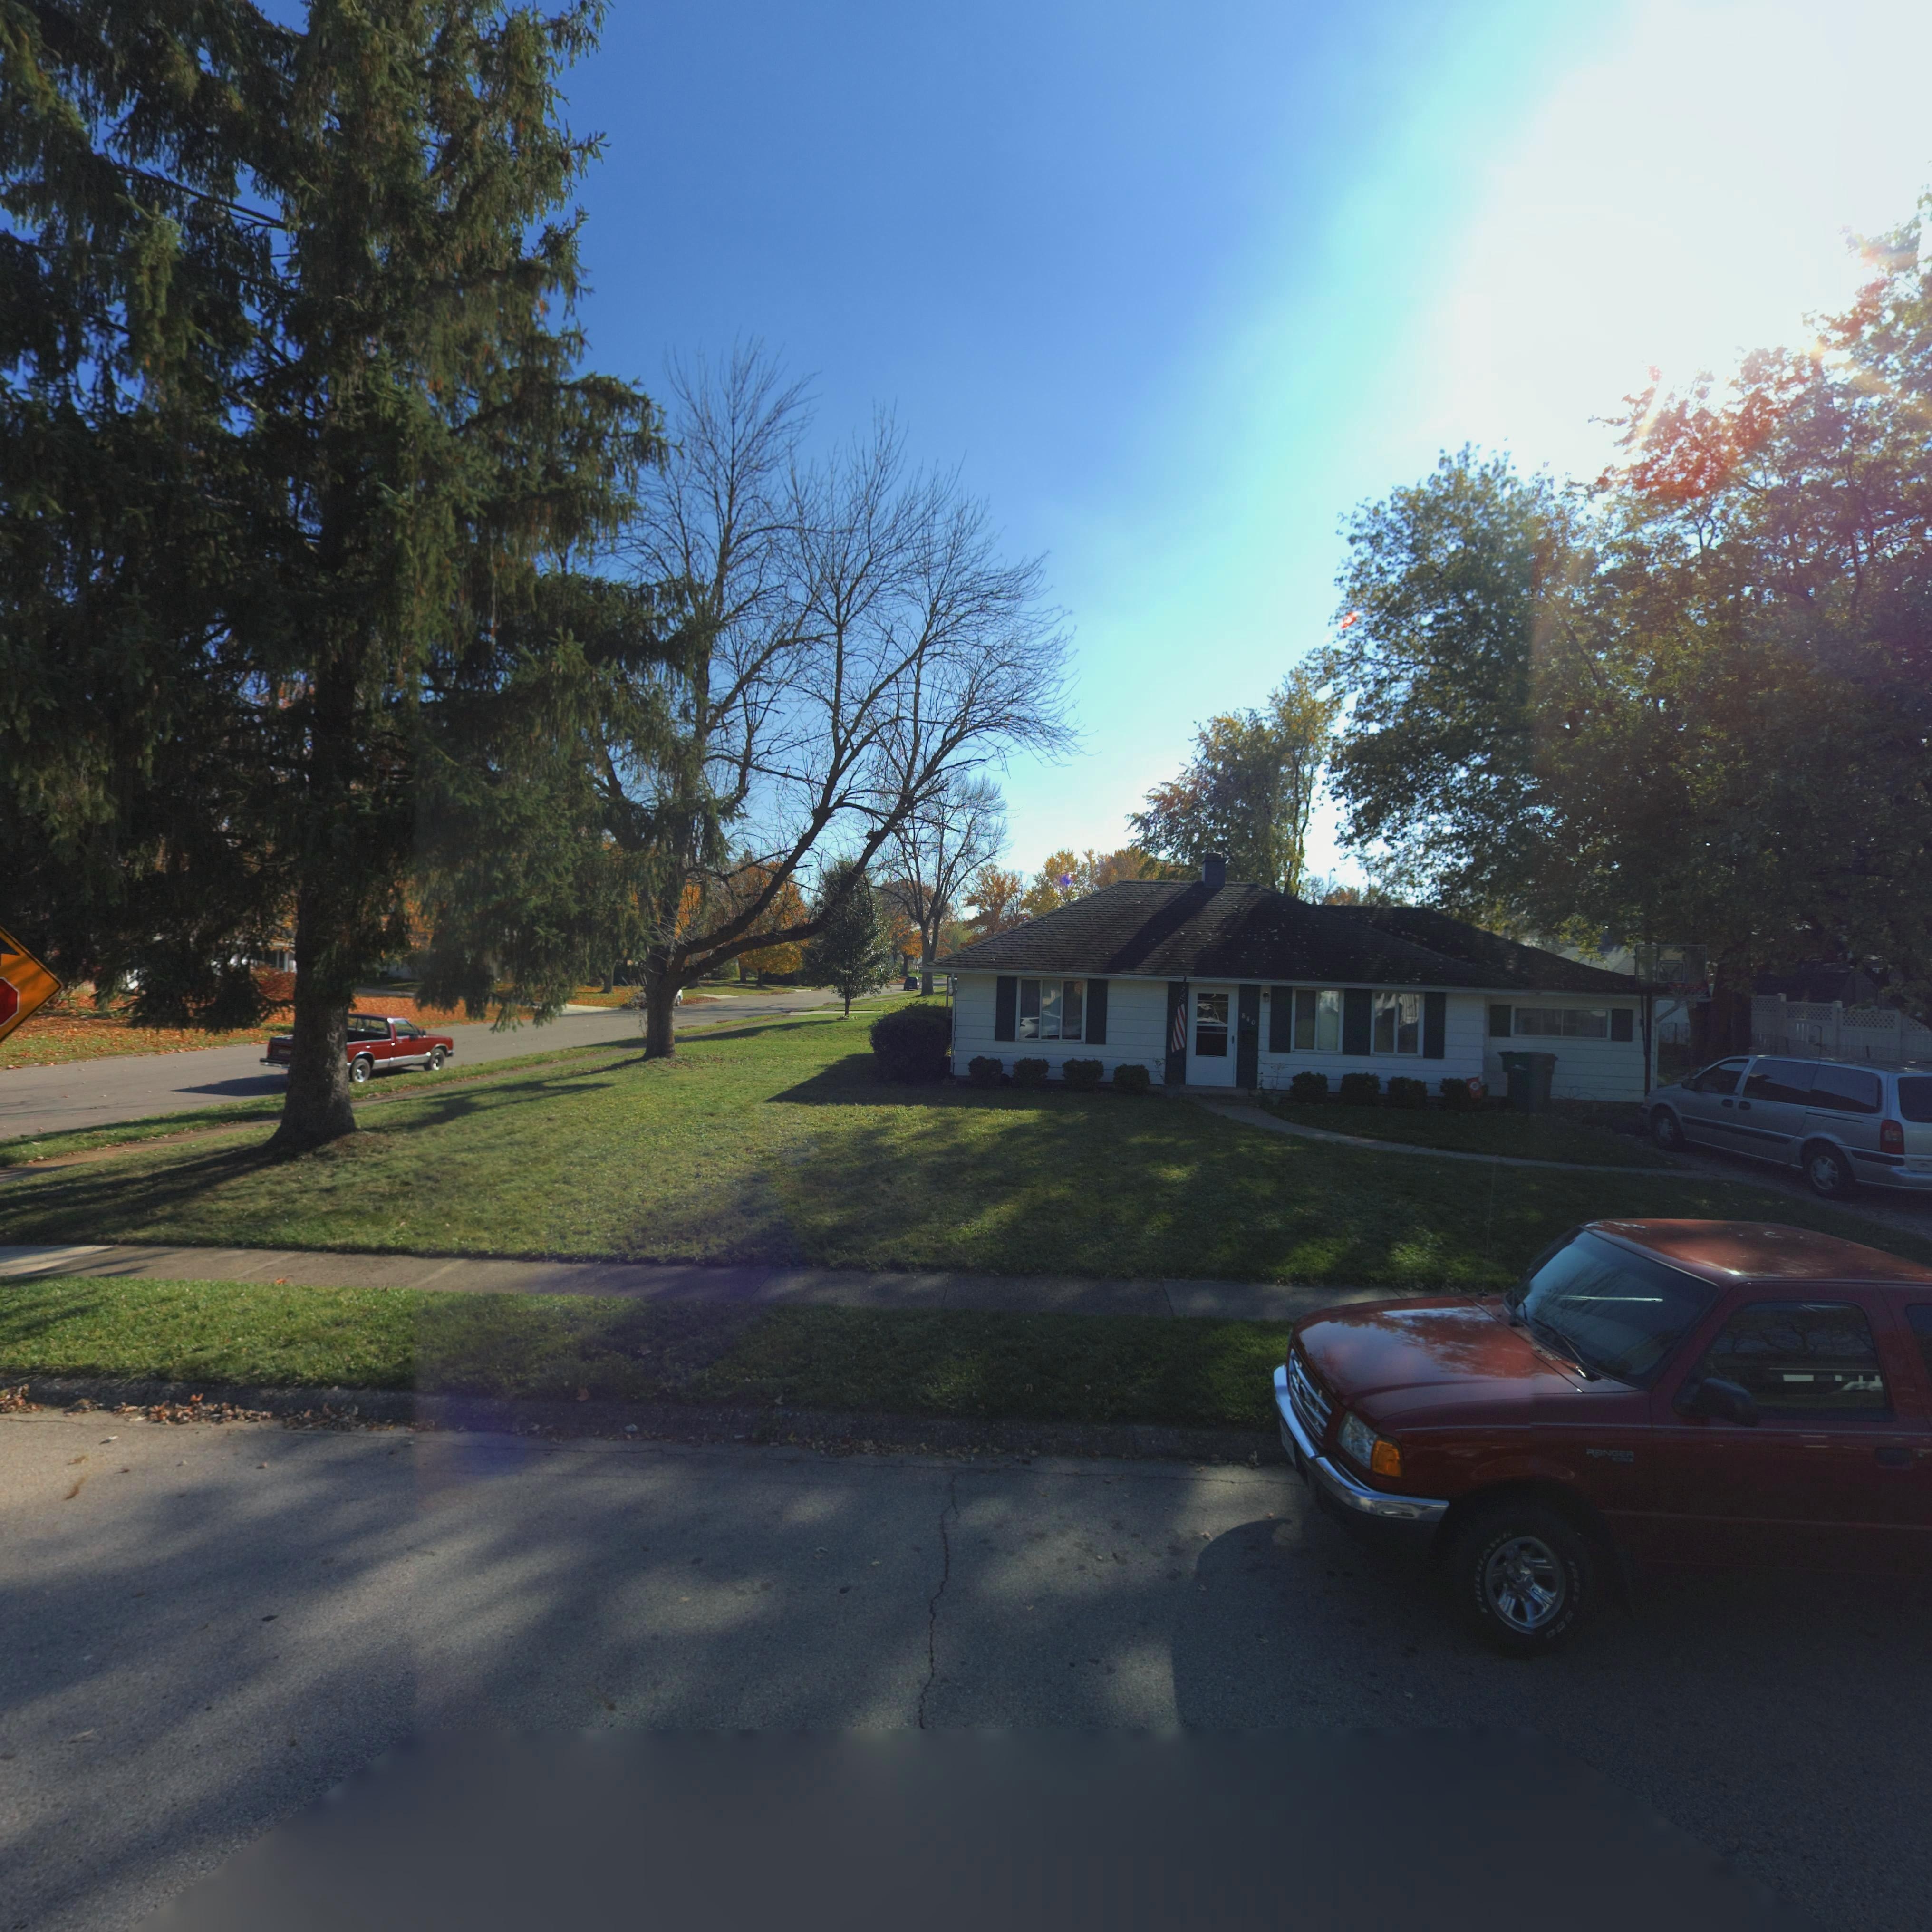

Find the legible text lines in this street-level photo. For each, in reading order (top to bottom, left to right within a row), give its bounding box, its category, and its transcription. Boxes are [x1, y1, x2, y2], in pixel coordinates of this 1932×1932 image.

[1241, 1011, 1256, 1026] StreetNumber: 840
[1586, 1448, 1636, 1459] None: RaNGER